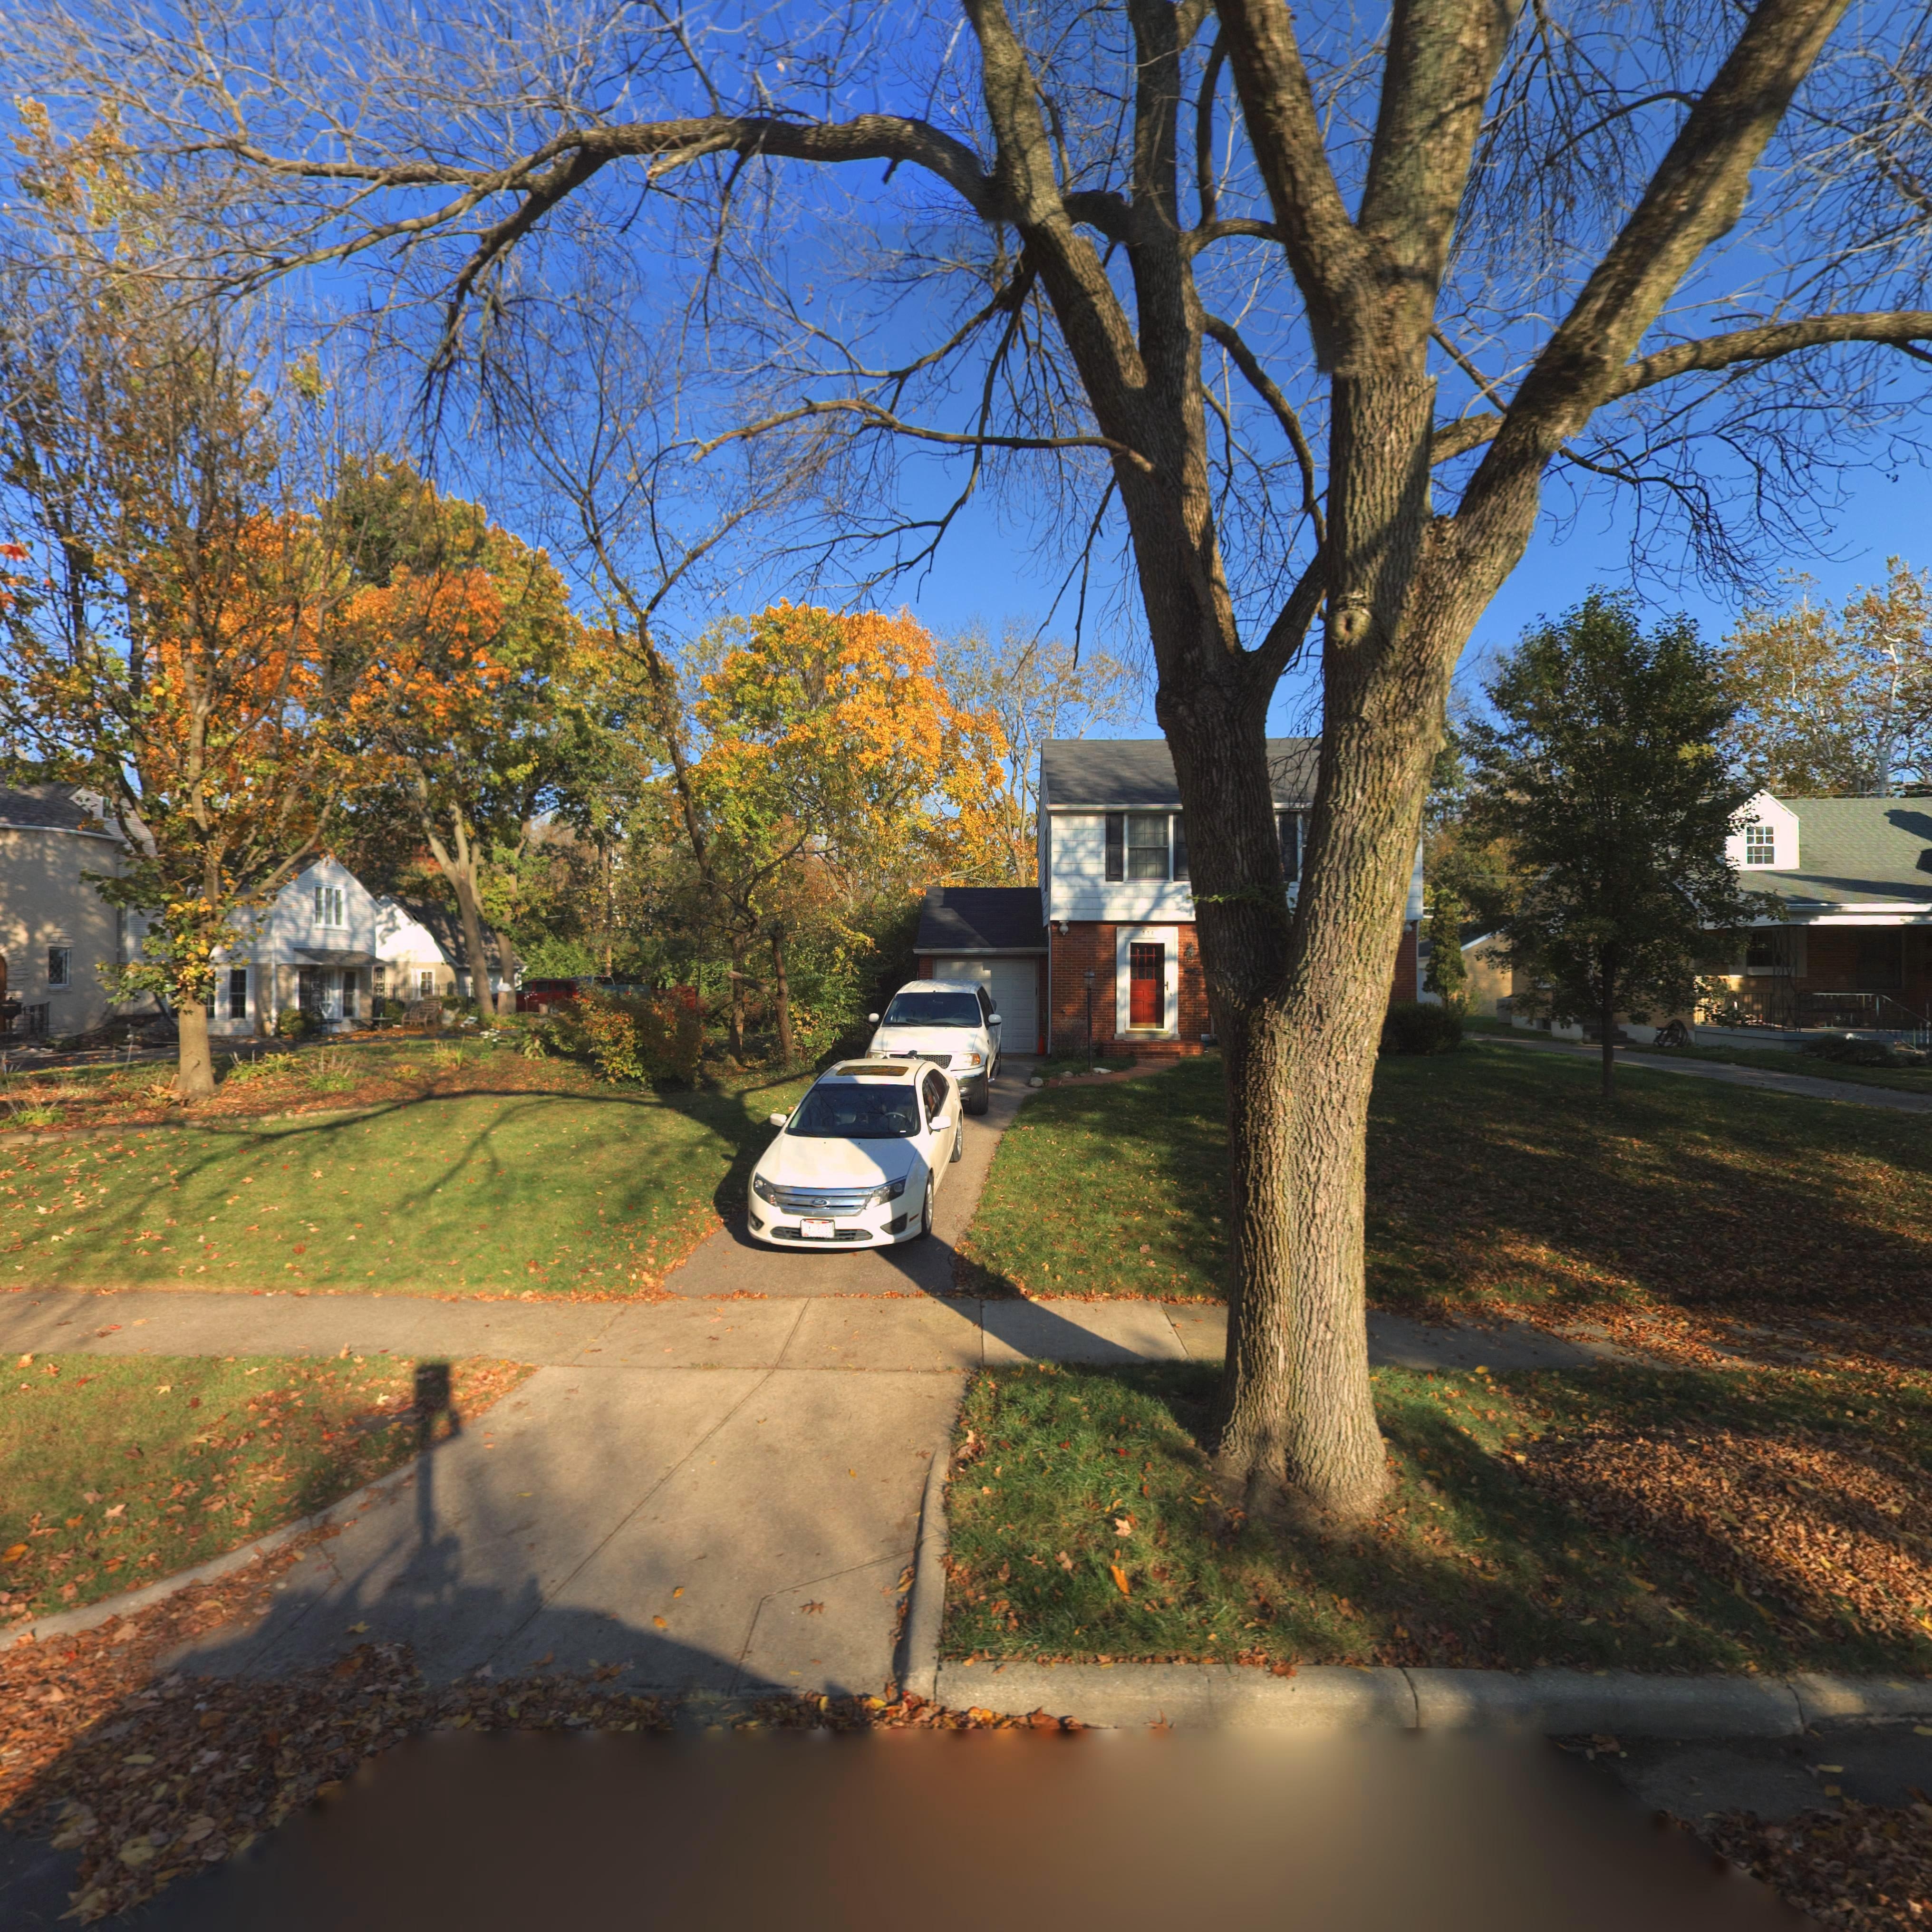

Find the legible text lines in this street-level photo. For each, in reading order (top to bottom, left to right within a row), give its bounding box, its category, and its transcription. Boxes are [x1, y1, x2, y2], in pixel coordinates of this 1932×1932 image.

[1141, 930, 1154, 936] StreetNumber: 558